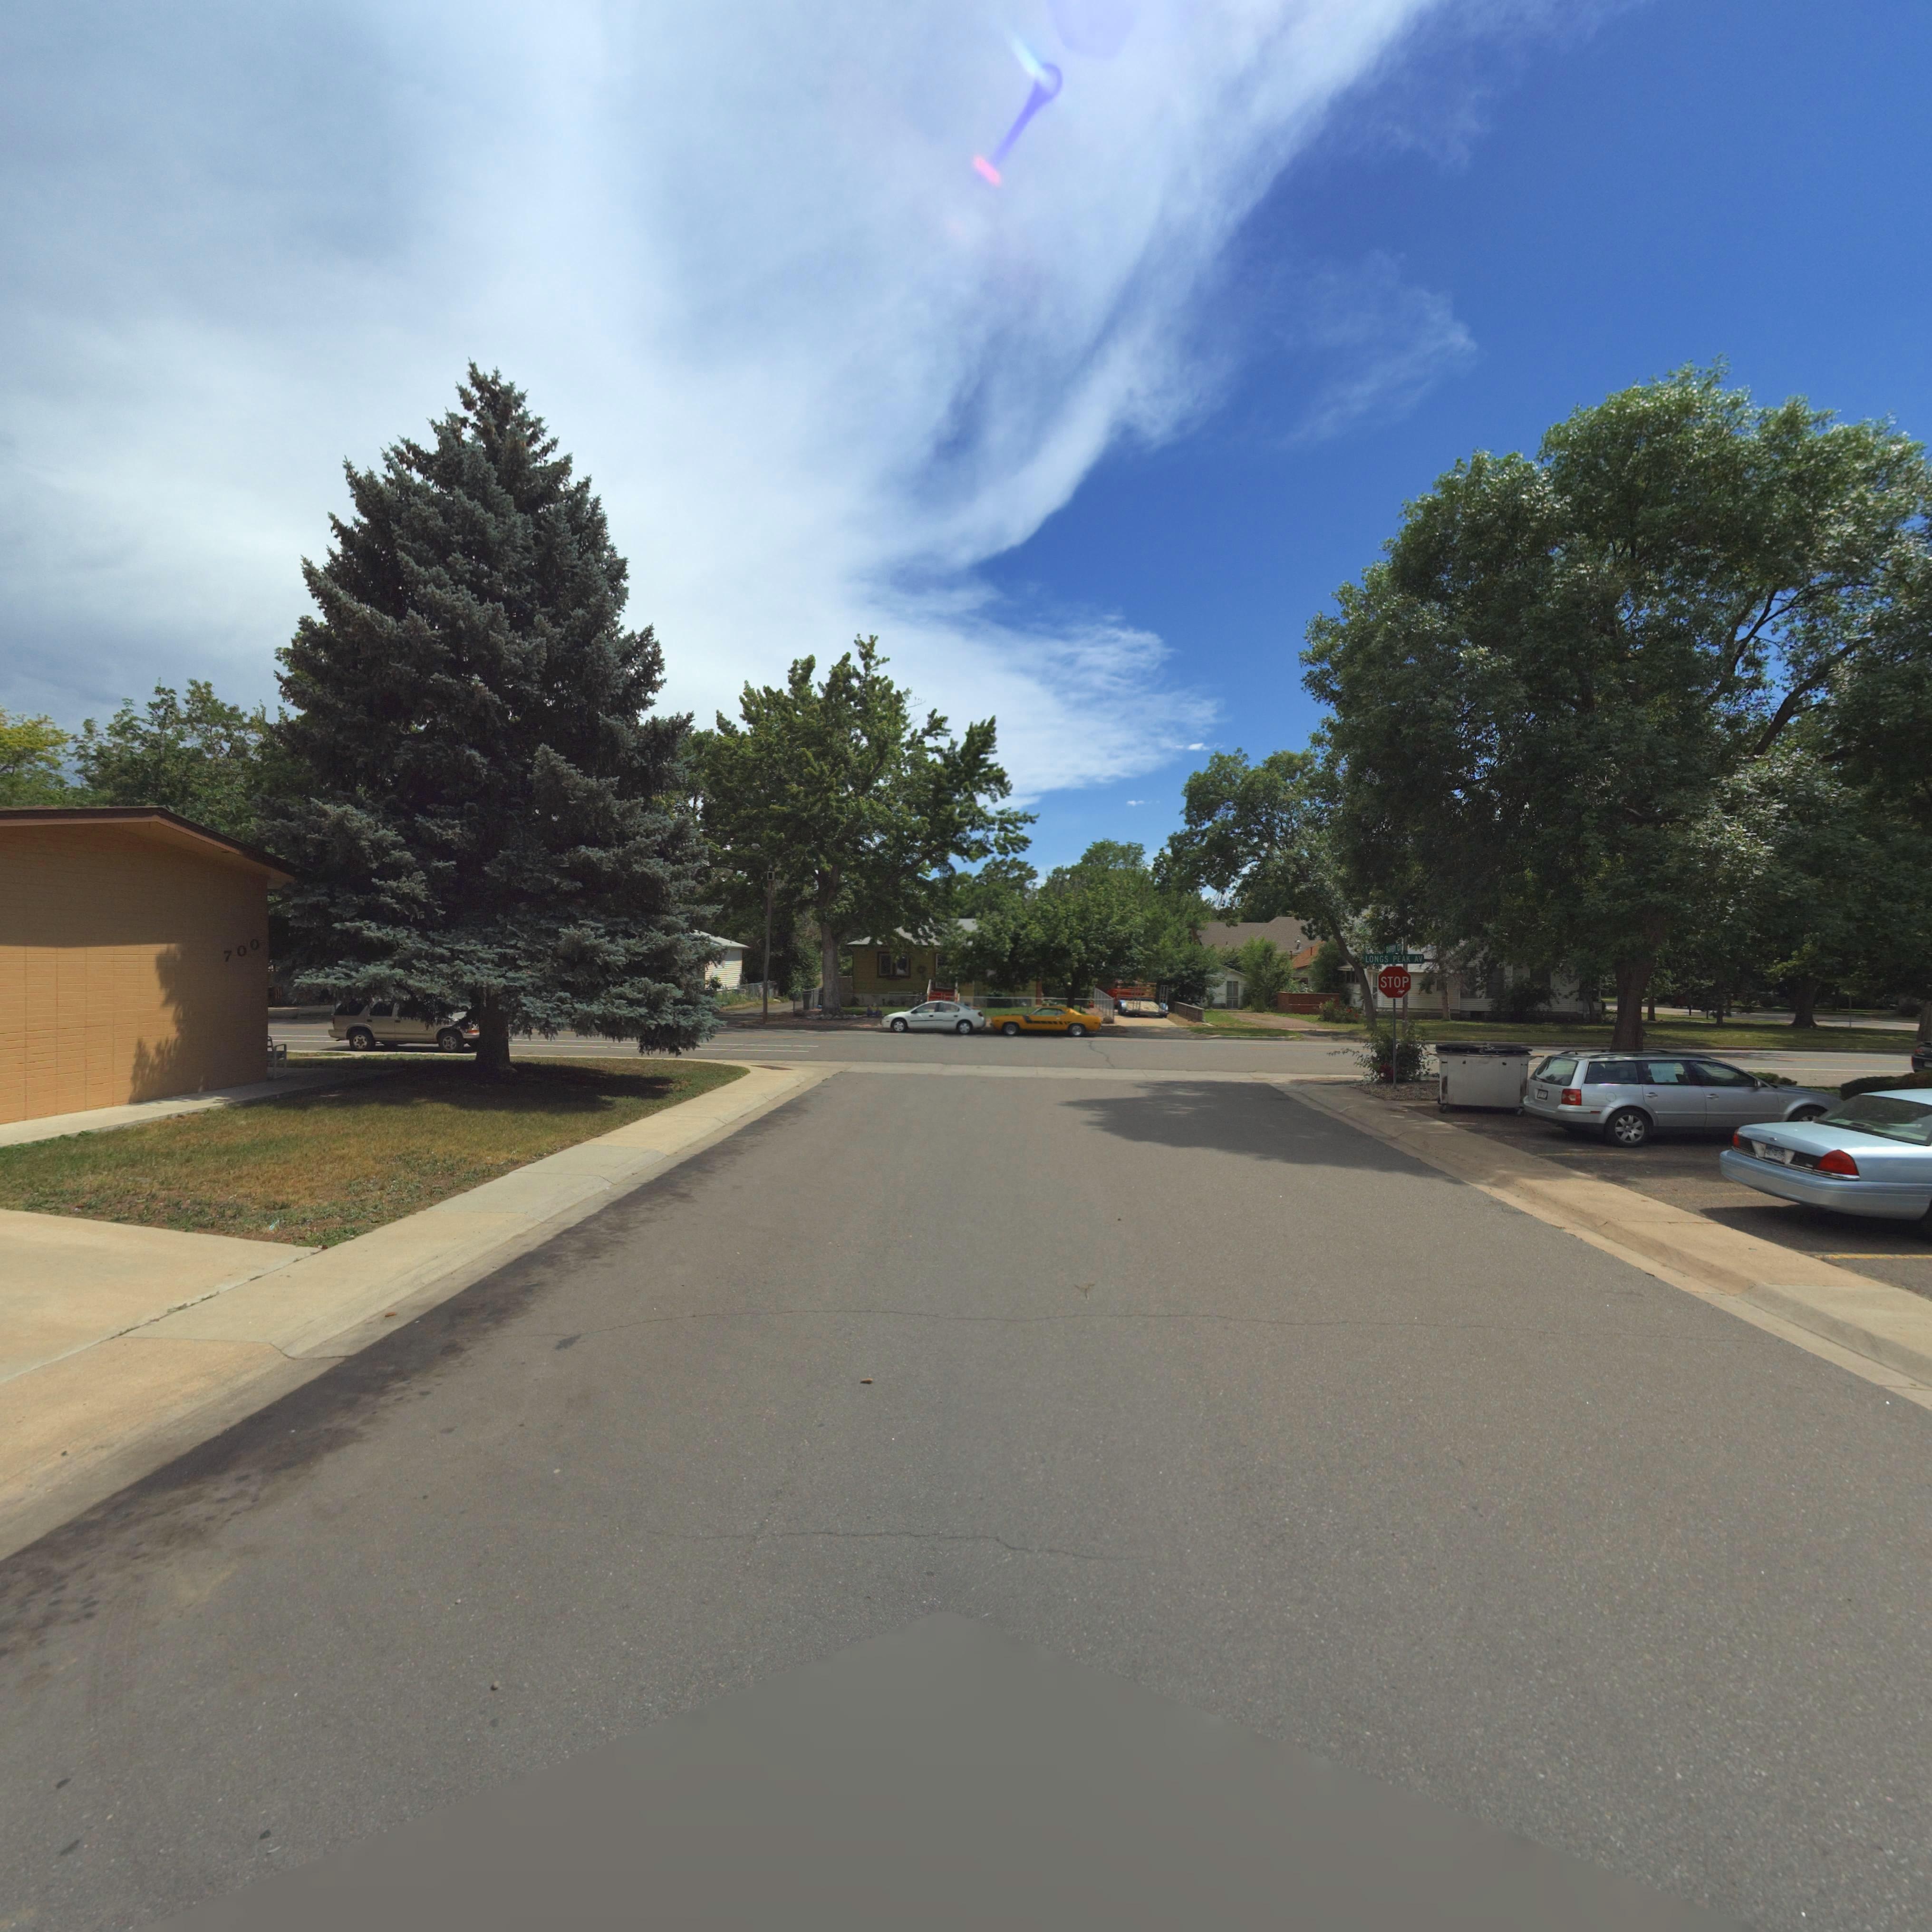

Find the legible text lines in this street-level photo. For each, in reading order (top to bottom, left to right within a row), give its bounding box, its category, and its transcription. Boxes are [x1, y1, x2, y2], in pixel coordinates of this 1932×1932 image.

[222, 936, 260, 962] StreetNumber: 700
[1386, 944, 1401, 953] StreetName: DARBY CT
[1364, 955, 1423, 962] StreetName: LONGS PEAK AV